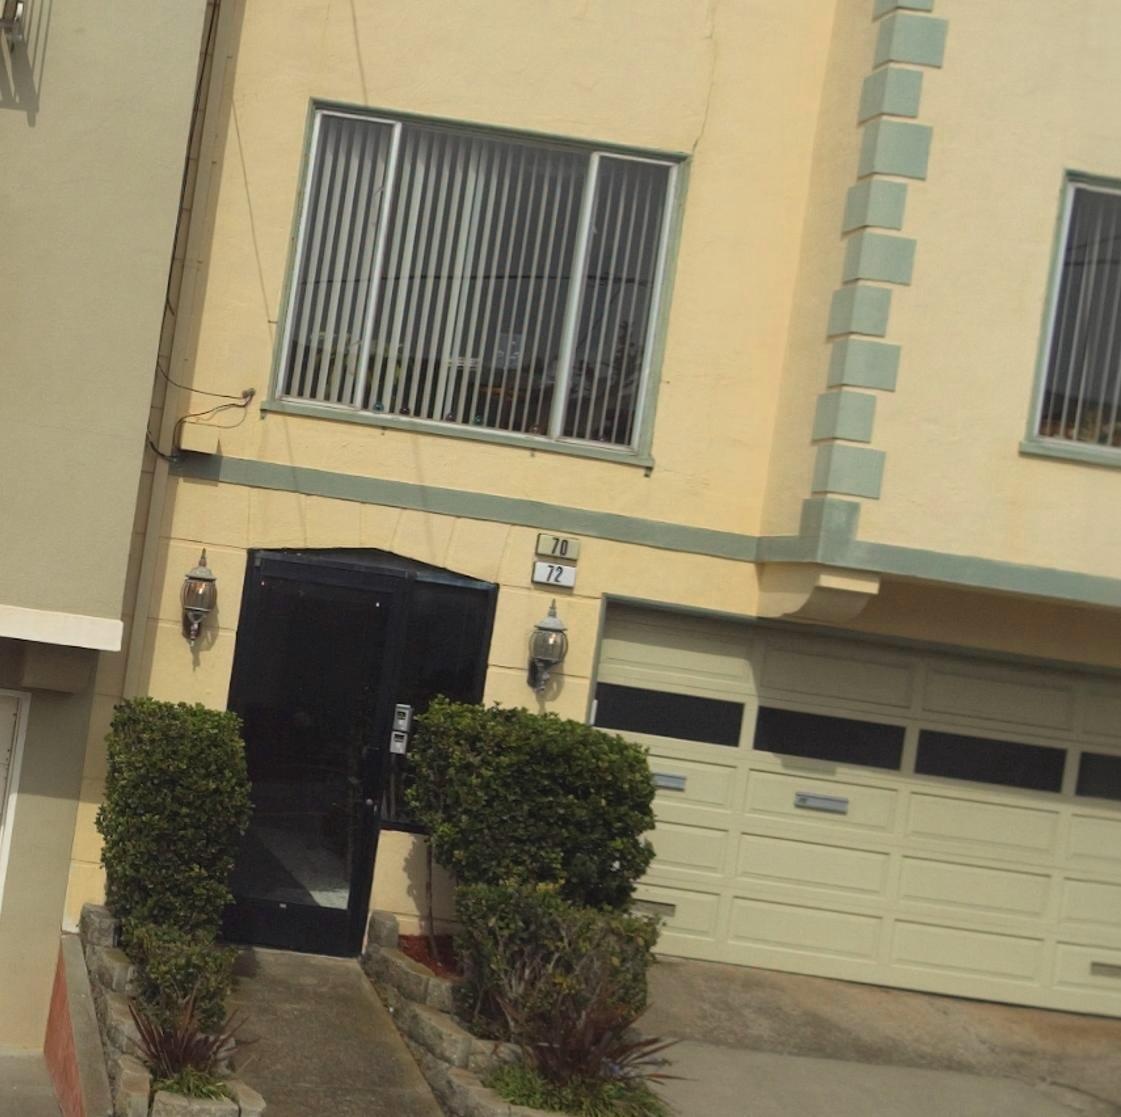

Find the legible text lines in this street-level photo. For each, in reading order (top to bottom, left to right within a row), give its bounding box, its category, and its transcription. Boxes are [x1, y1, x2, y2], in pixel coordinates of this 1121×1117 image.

[548, 535, 570, 558] StreetNumber: 70
[543, 562, 566, 585] StreetNumber: 72